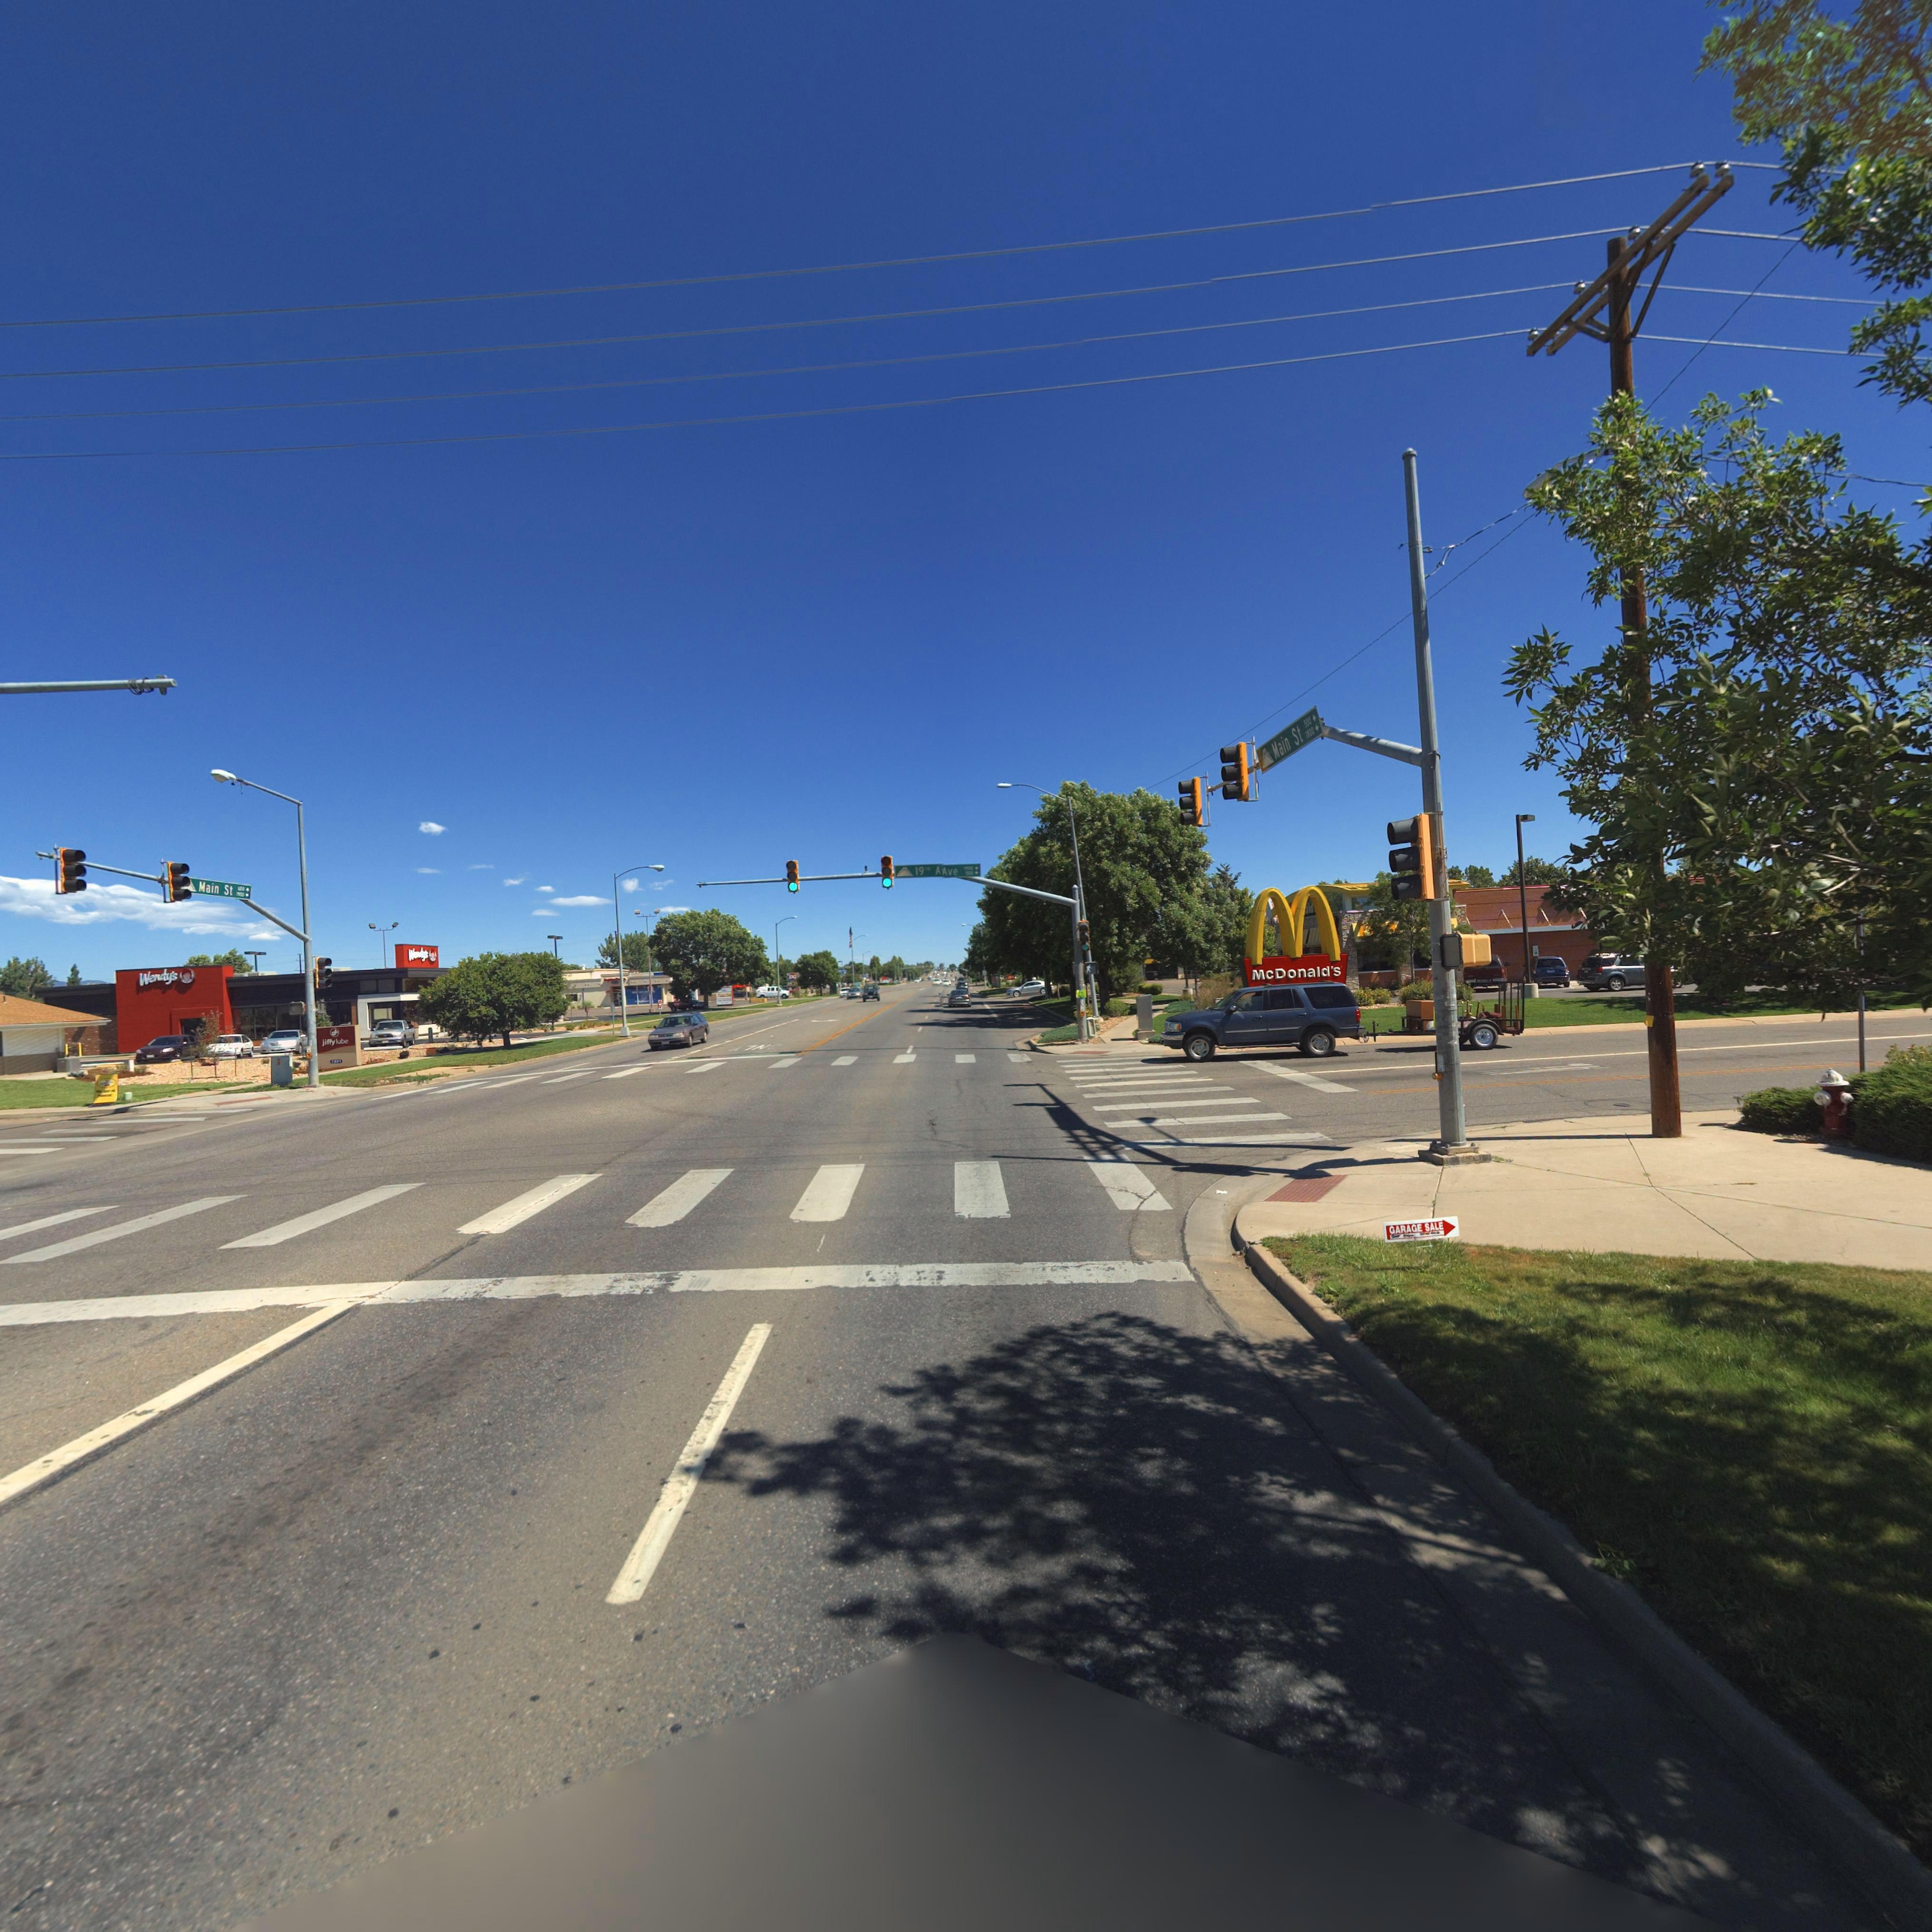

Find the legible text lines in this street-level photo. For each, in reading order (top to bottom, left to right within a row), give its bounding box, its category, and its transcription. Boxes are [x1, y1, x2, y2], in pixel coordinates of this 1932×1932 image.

[1302, 716, 1312, 728] StreetNumberRange: 500
[1304, 724, 1319, 740] StreetNumberRange: 1800->
[1270, 724, 1304, 760] StreetName: Main St
[914, 866, 958, 876] StreetName: 19th AAve
[963, 865, 974, 870] StreetNumberRange: 1700
[965, 870, 979, 875] StreetNumberRange: 500->
[198, 880, 233, 896] BusinessName: Main St
[237, 885, 245, 891] StreetNumberRange: *00
[236, 891, 249, 898] StreetNumberRange: *00->
[408, 947, 429, 962] BusinessName: W**dy's
[137, 967, 179, 988] BusinessName: Wendy's
[788, 974, 797, 980] BusinessName: DQ
[1251, 965, 1342, 981] BusinessName: McDonald's
[321, 1037, 349, 1047] BusinessName: jiffylube
[331, 1060, 341, 1063] StreetNumber: 1**1